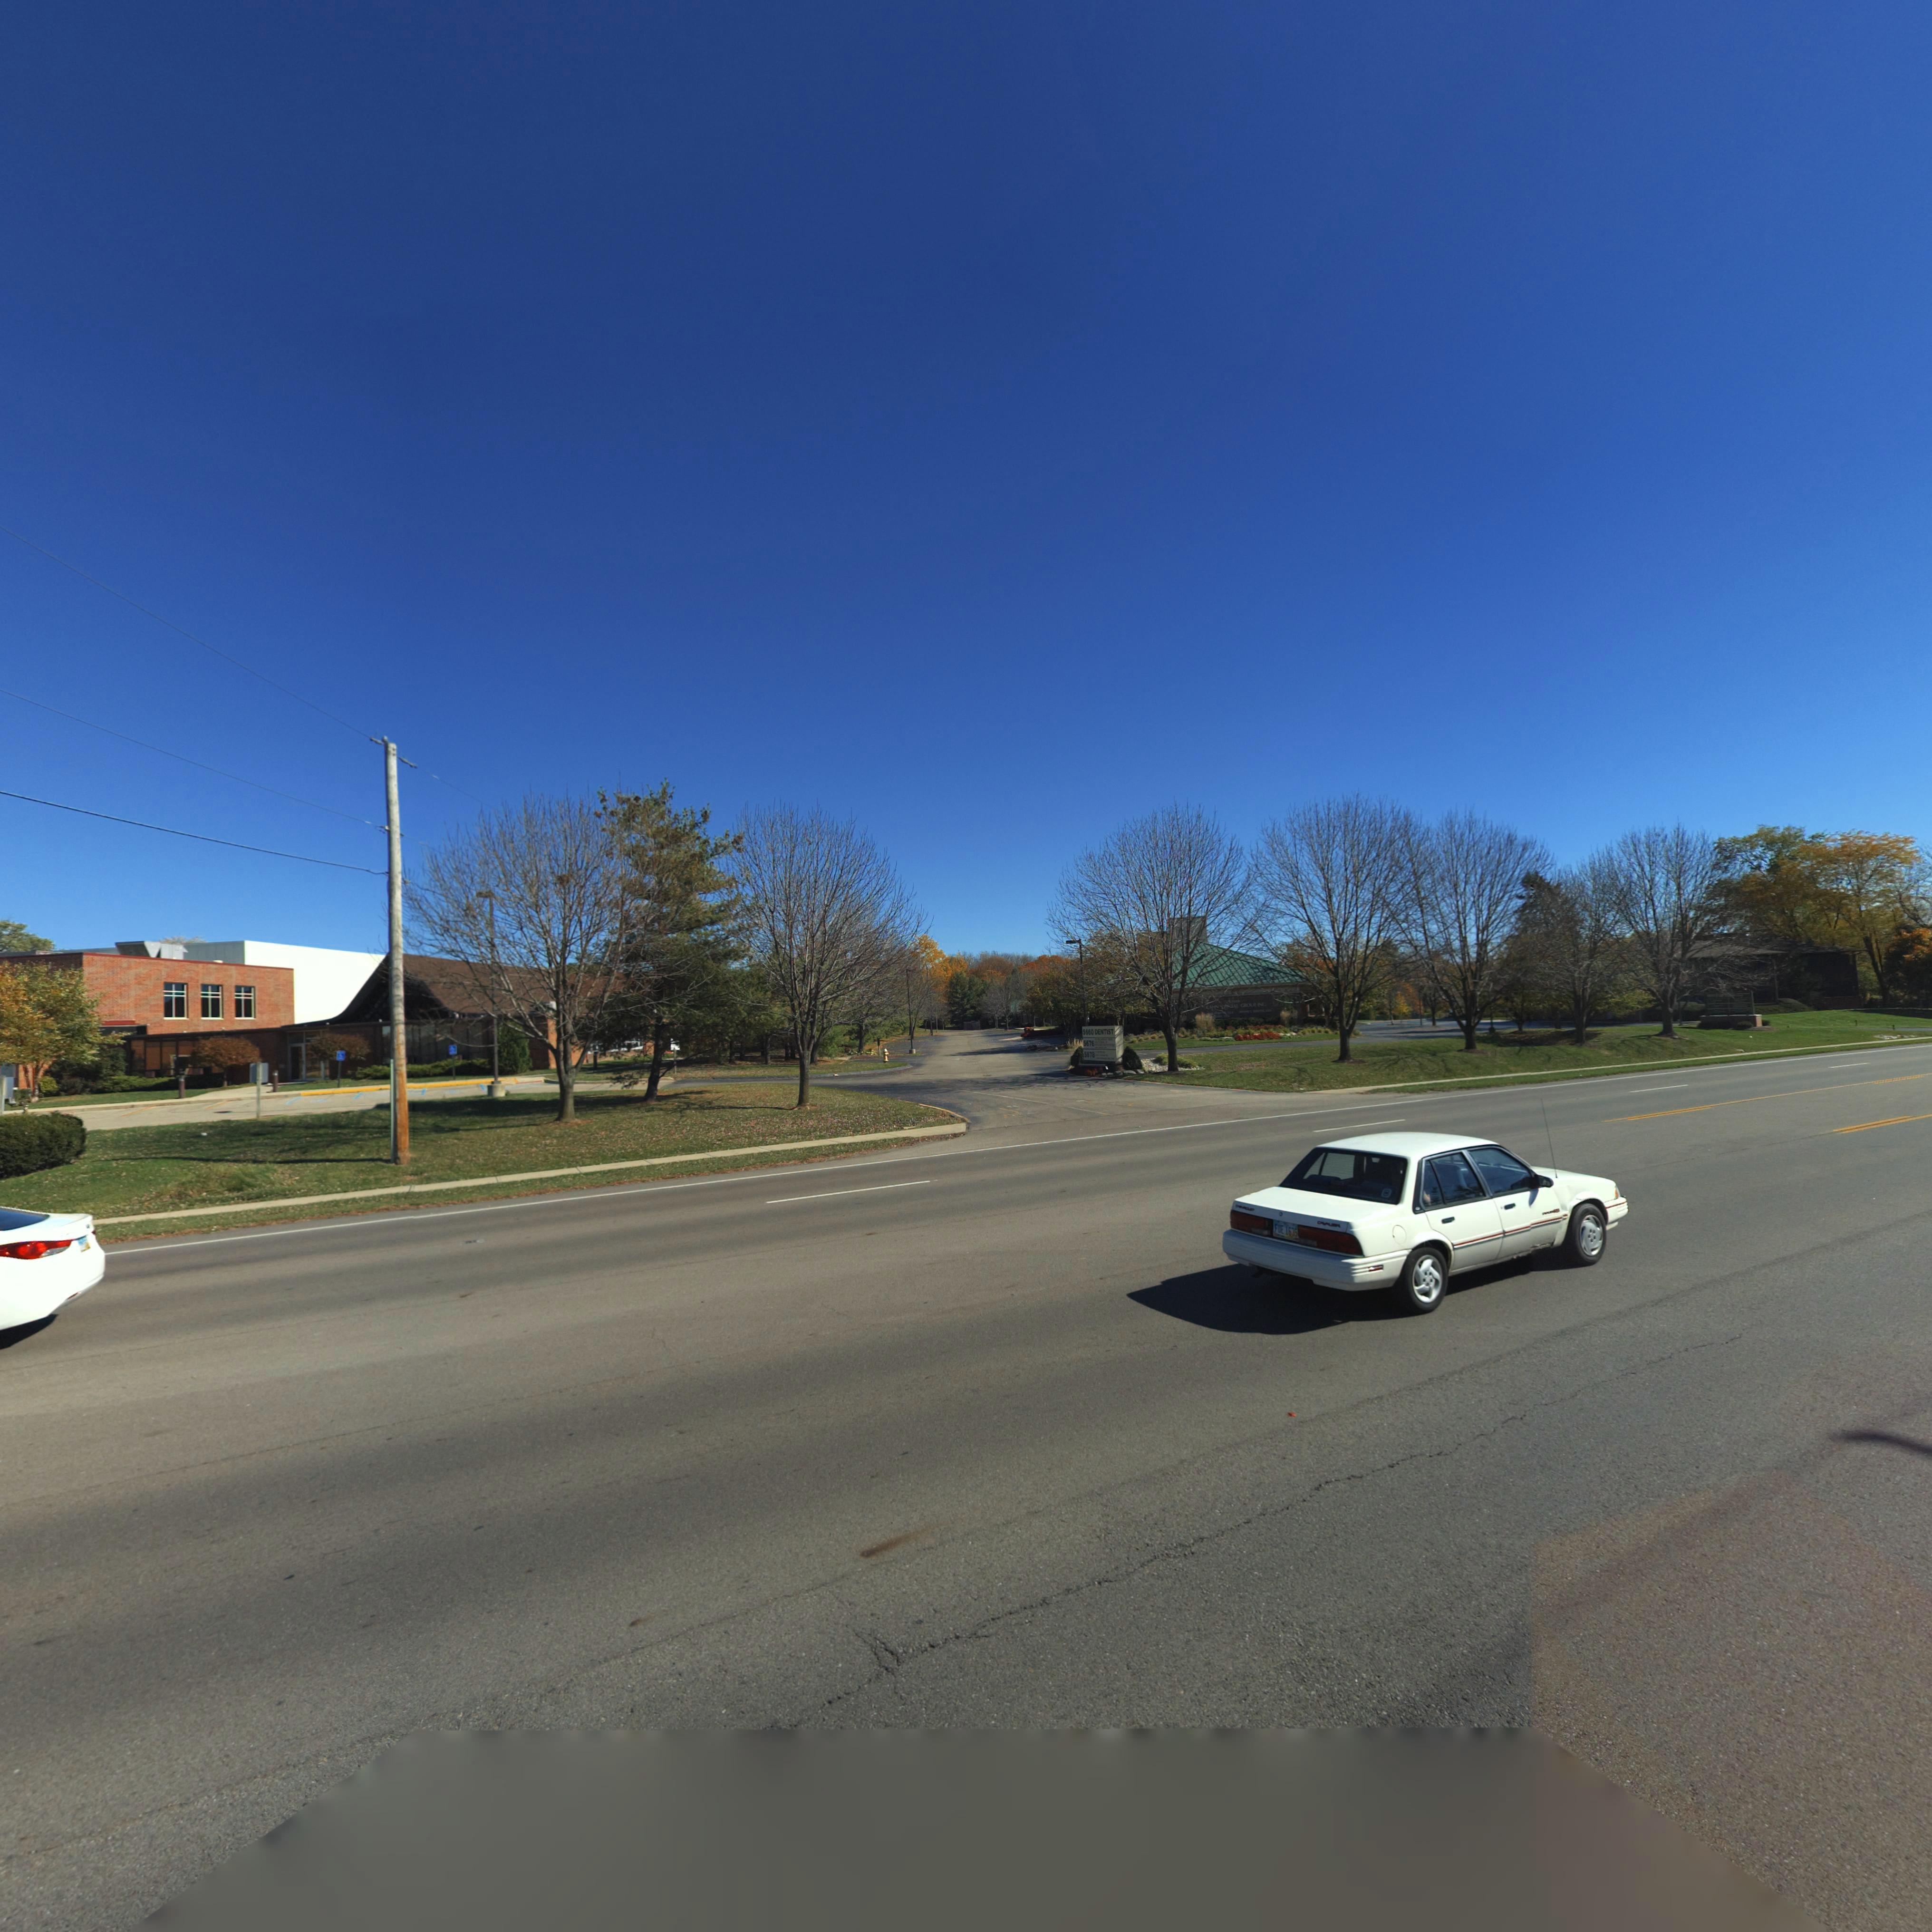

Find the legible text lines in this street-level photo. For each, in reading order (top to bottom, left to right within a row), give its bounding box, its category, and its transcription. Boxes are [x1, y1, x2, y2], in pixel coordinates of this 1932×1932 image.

[1082, 1028, 1095, 1036] StreetNumber: 5660
[1094, 1028, 1114, 1035] None: DENTIST
[1082, 1039, 1095, 1047] StreetNumber: 5676
[1083, 1050, 1096, 1059] StreetNumber: 567*
[1316, 1220, 1341, 1229] None: CAV*L**R
[1274, 1223, 1298, 1238] None: F*E*1635